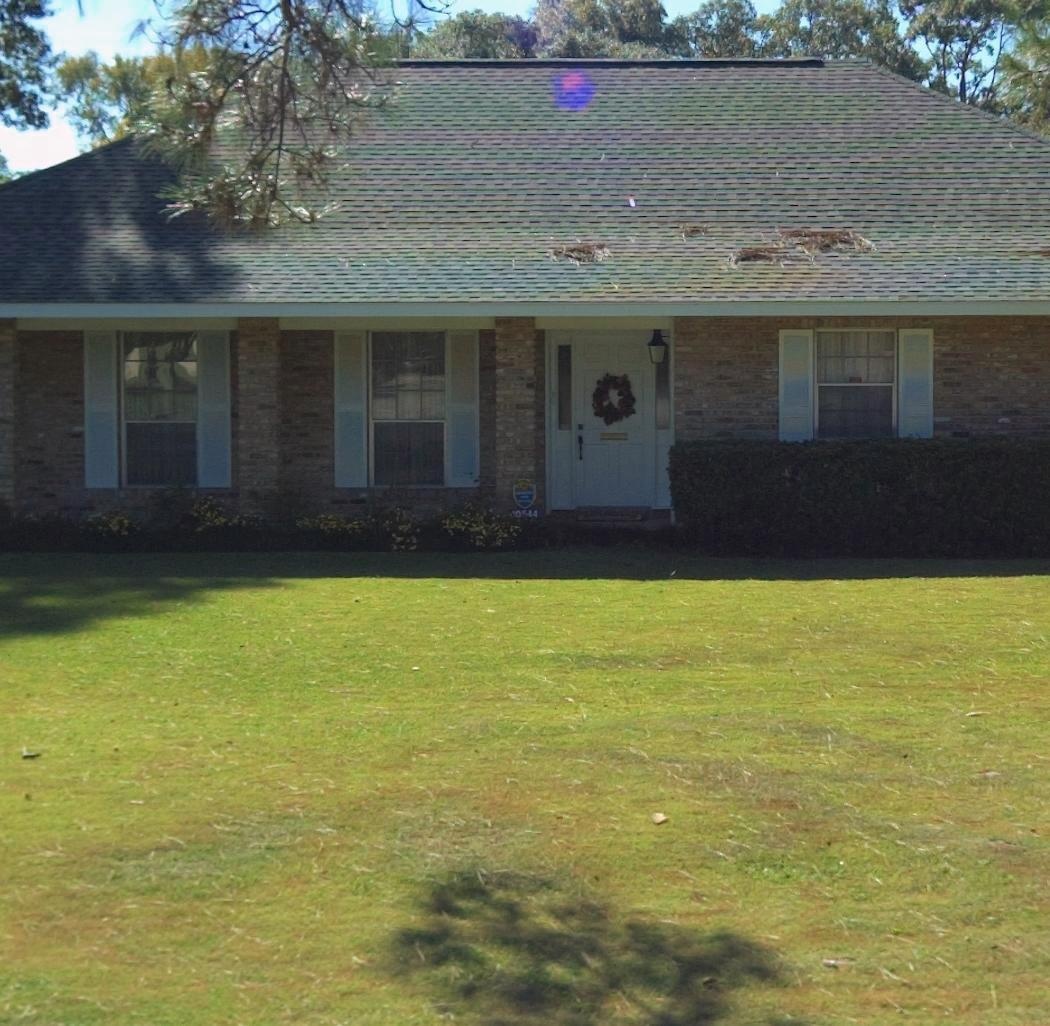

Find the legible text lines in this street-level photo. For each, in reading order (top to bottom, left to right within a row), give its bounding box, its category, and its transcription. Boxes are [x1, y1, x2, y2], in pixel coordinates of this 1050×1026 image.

[510, 508, 539, 520] StreetNumber: 10544